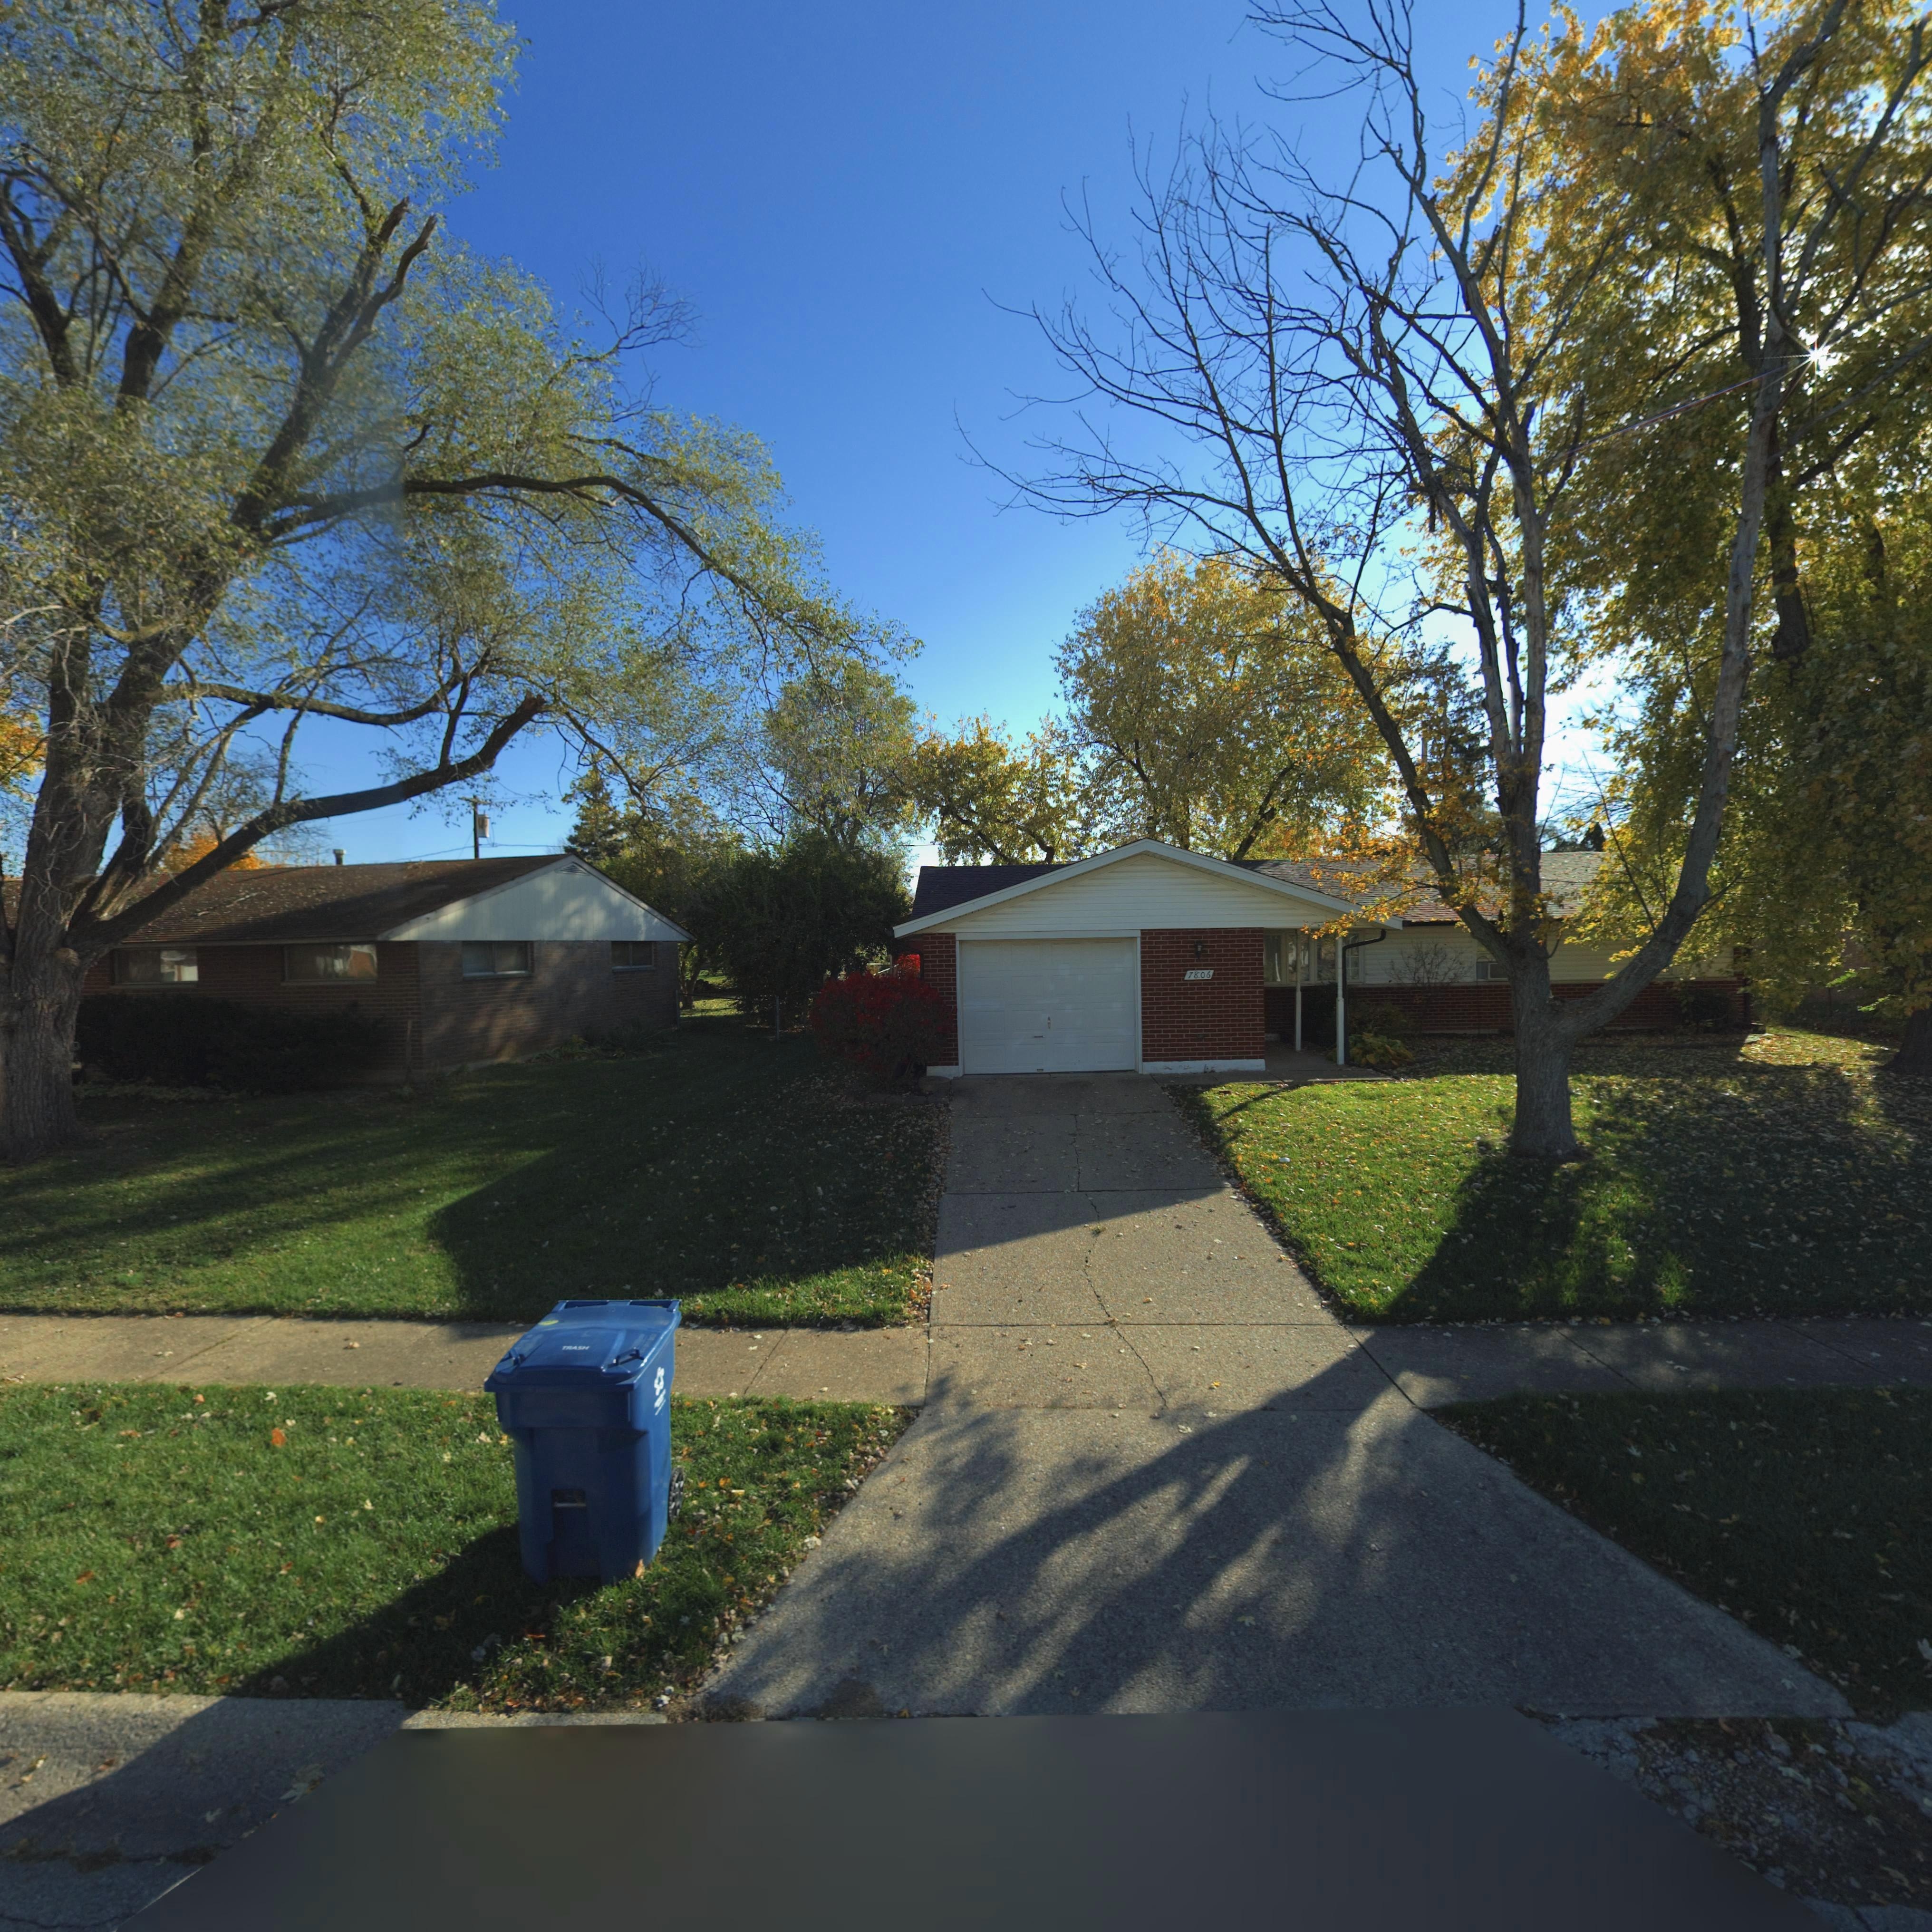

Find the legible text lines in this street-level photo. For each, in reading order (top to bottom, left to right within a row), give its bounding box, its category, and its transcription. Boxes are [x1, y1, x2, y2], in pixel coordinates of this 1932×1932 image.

[1187, 970, 1212, 980] StreetNumber: 7806